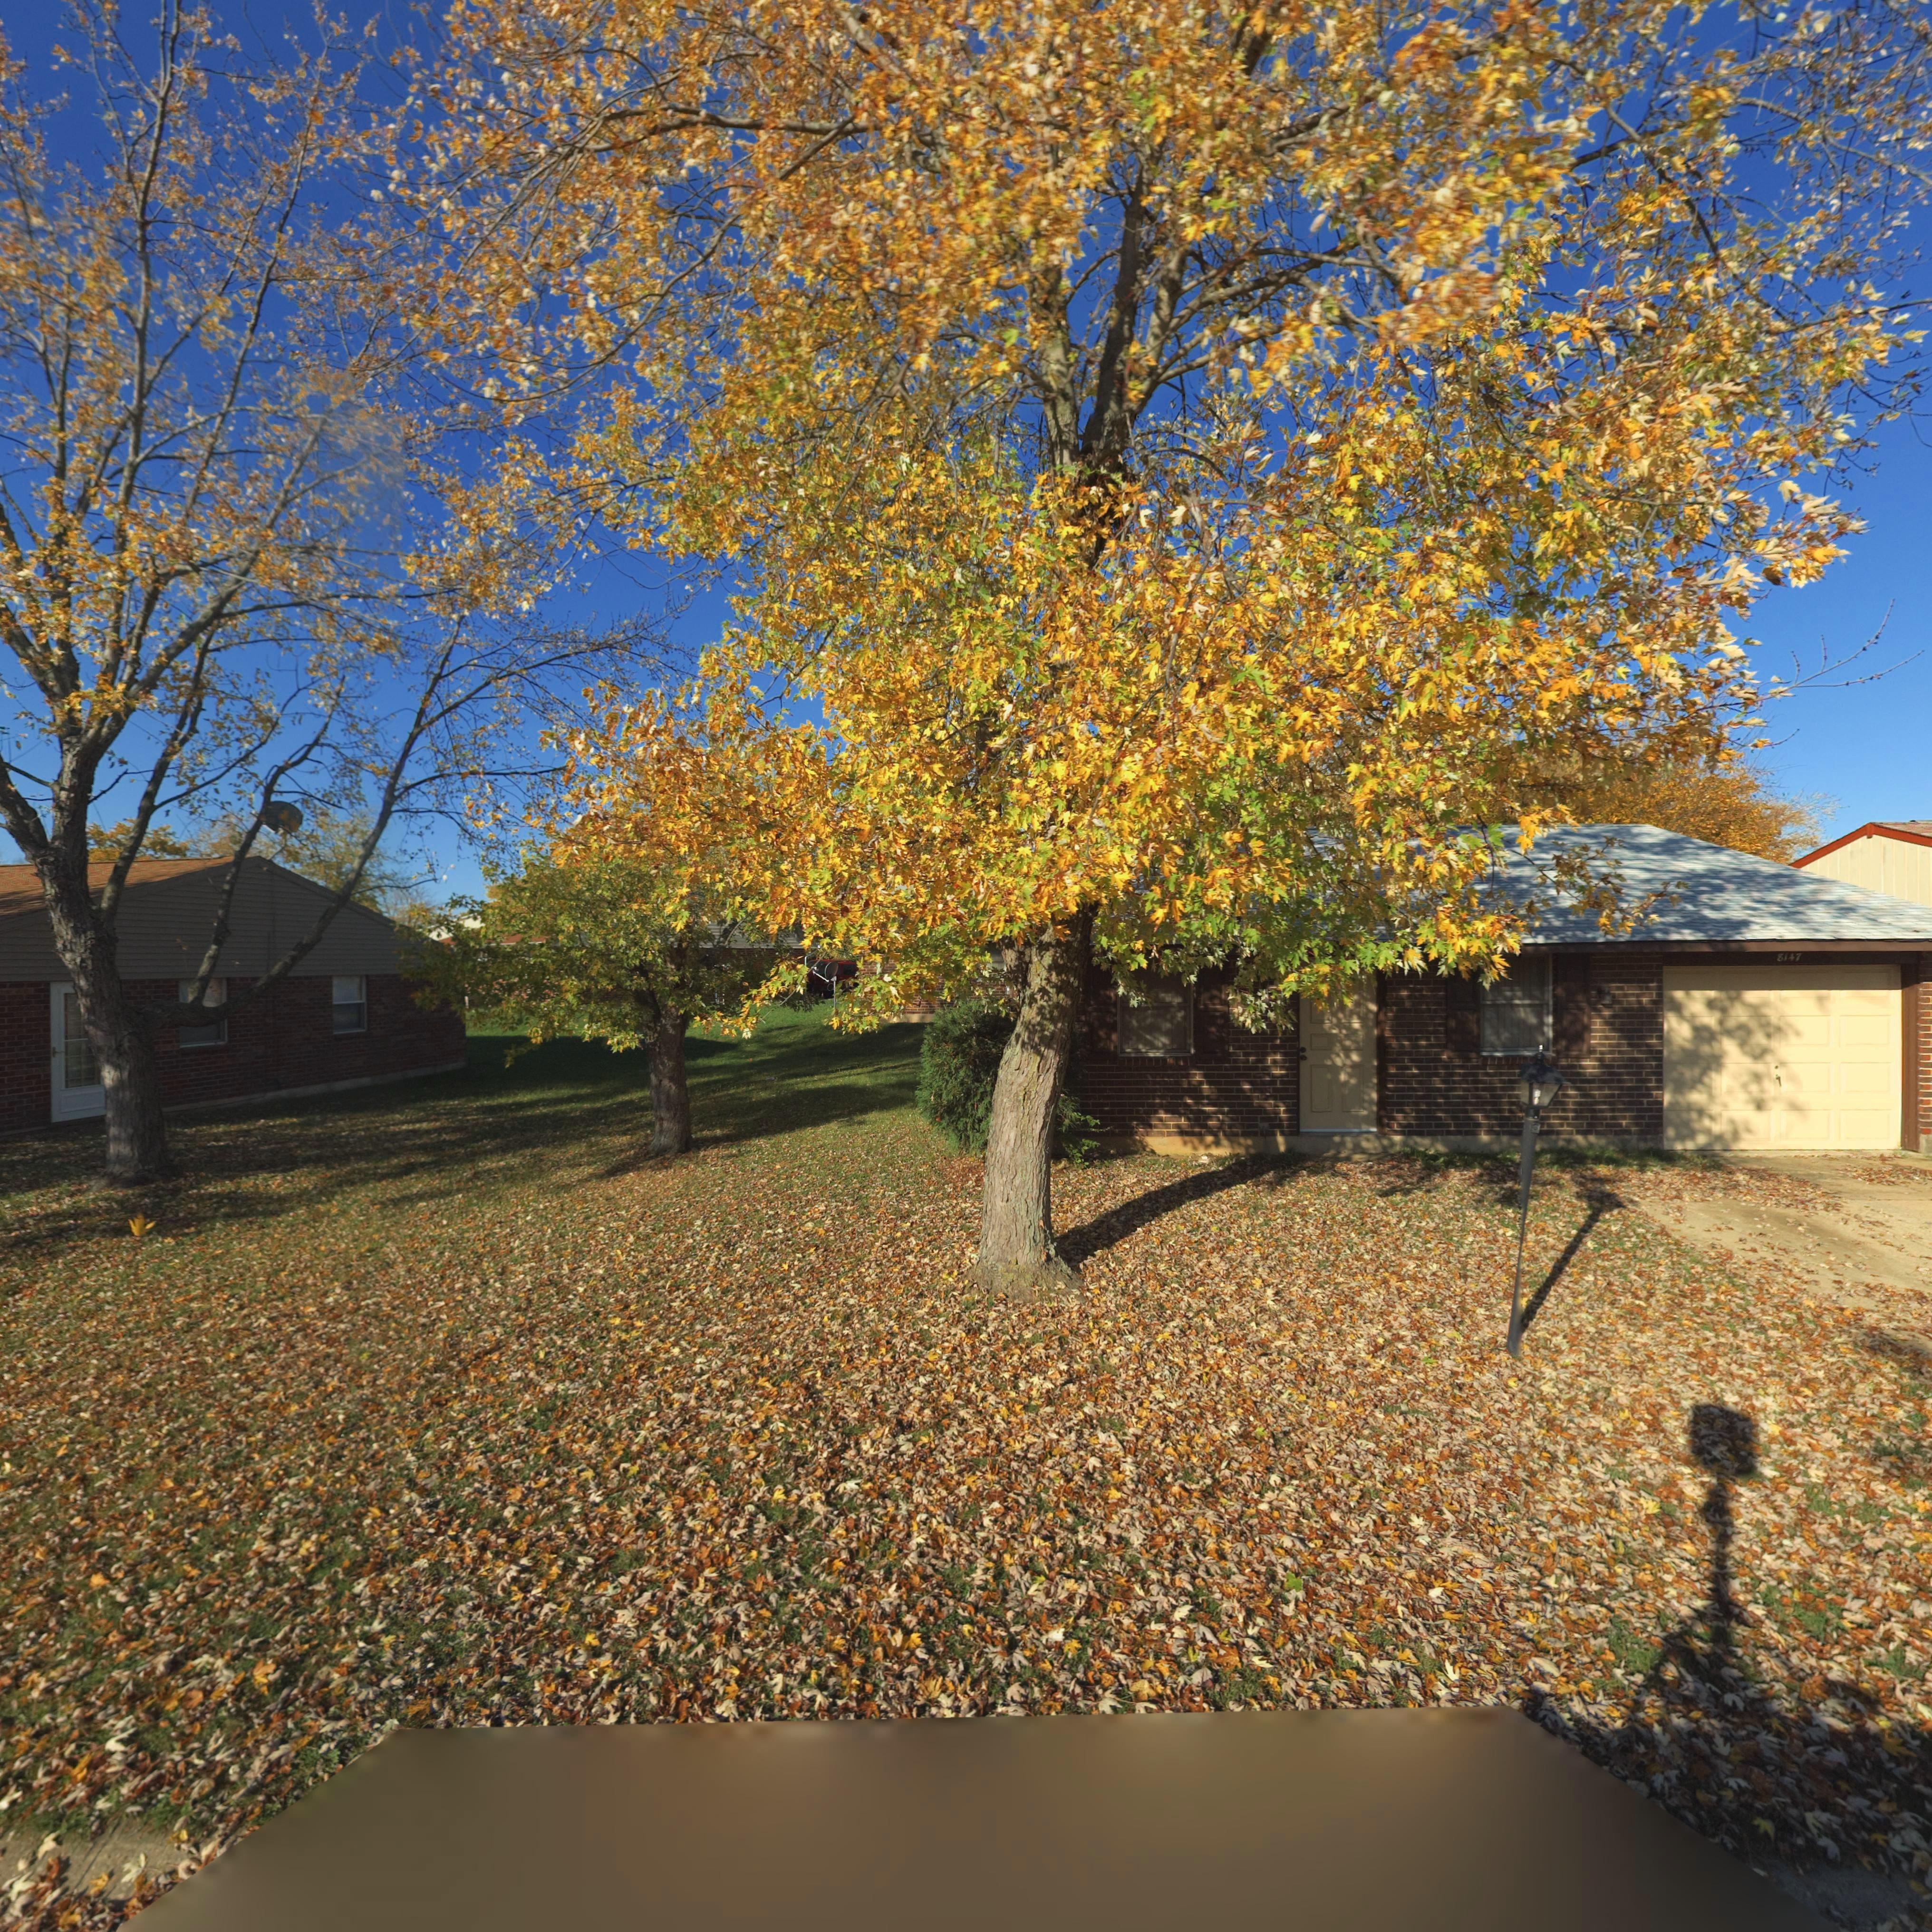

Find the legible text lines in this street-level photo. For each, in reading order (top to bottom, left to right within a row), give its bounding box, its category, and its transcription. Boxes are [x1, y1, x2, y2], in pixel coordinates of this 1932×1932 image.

[1775, 952, 1803, 963] StreetNumber: 8147